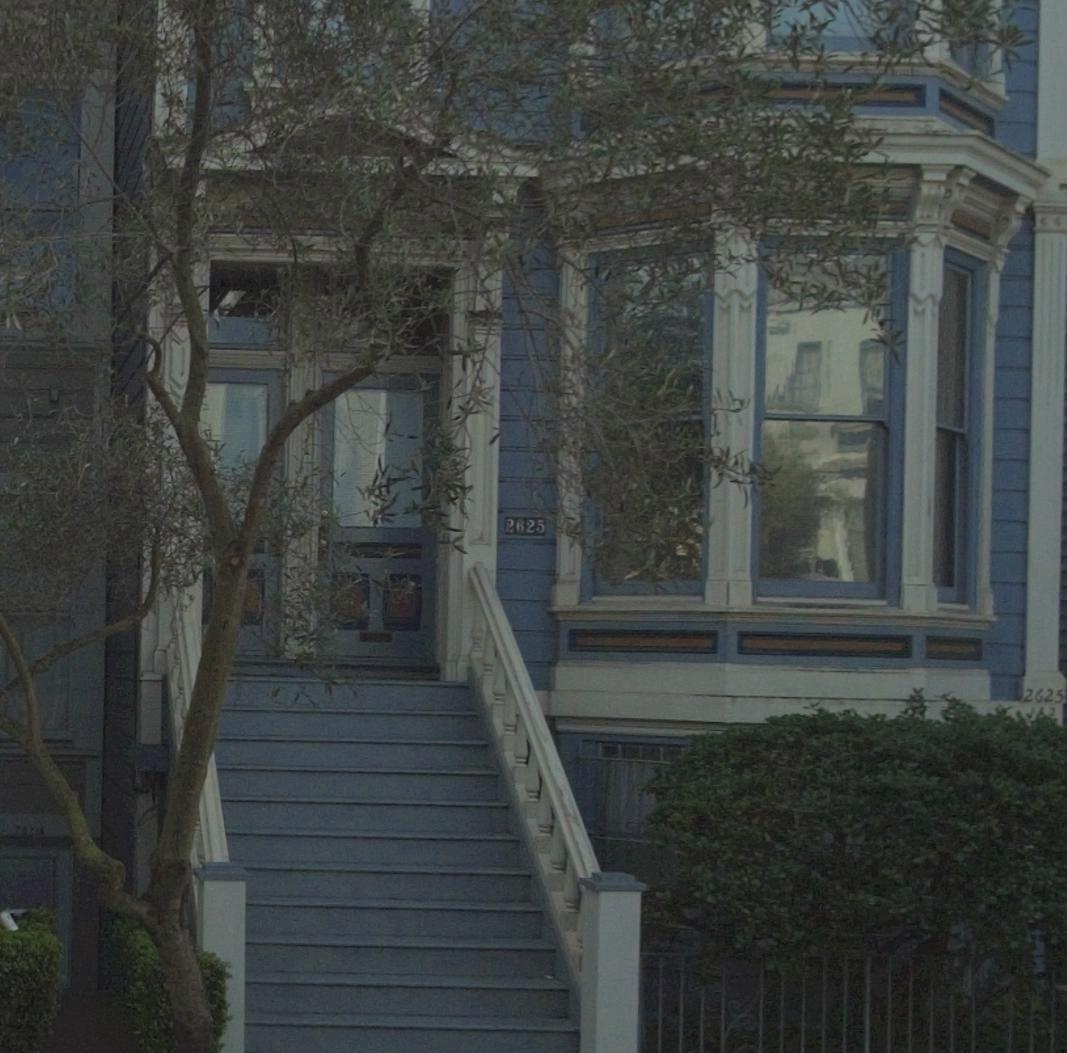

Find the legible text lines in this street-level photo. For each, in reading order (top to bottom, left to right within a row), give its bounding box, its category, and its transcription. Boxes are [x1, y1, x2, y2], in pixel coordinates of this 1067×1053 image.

[504, 516, 547, 536] StreetNumber: 2625